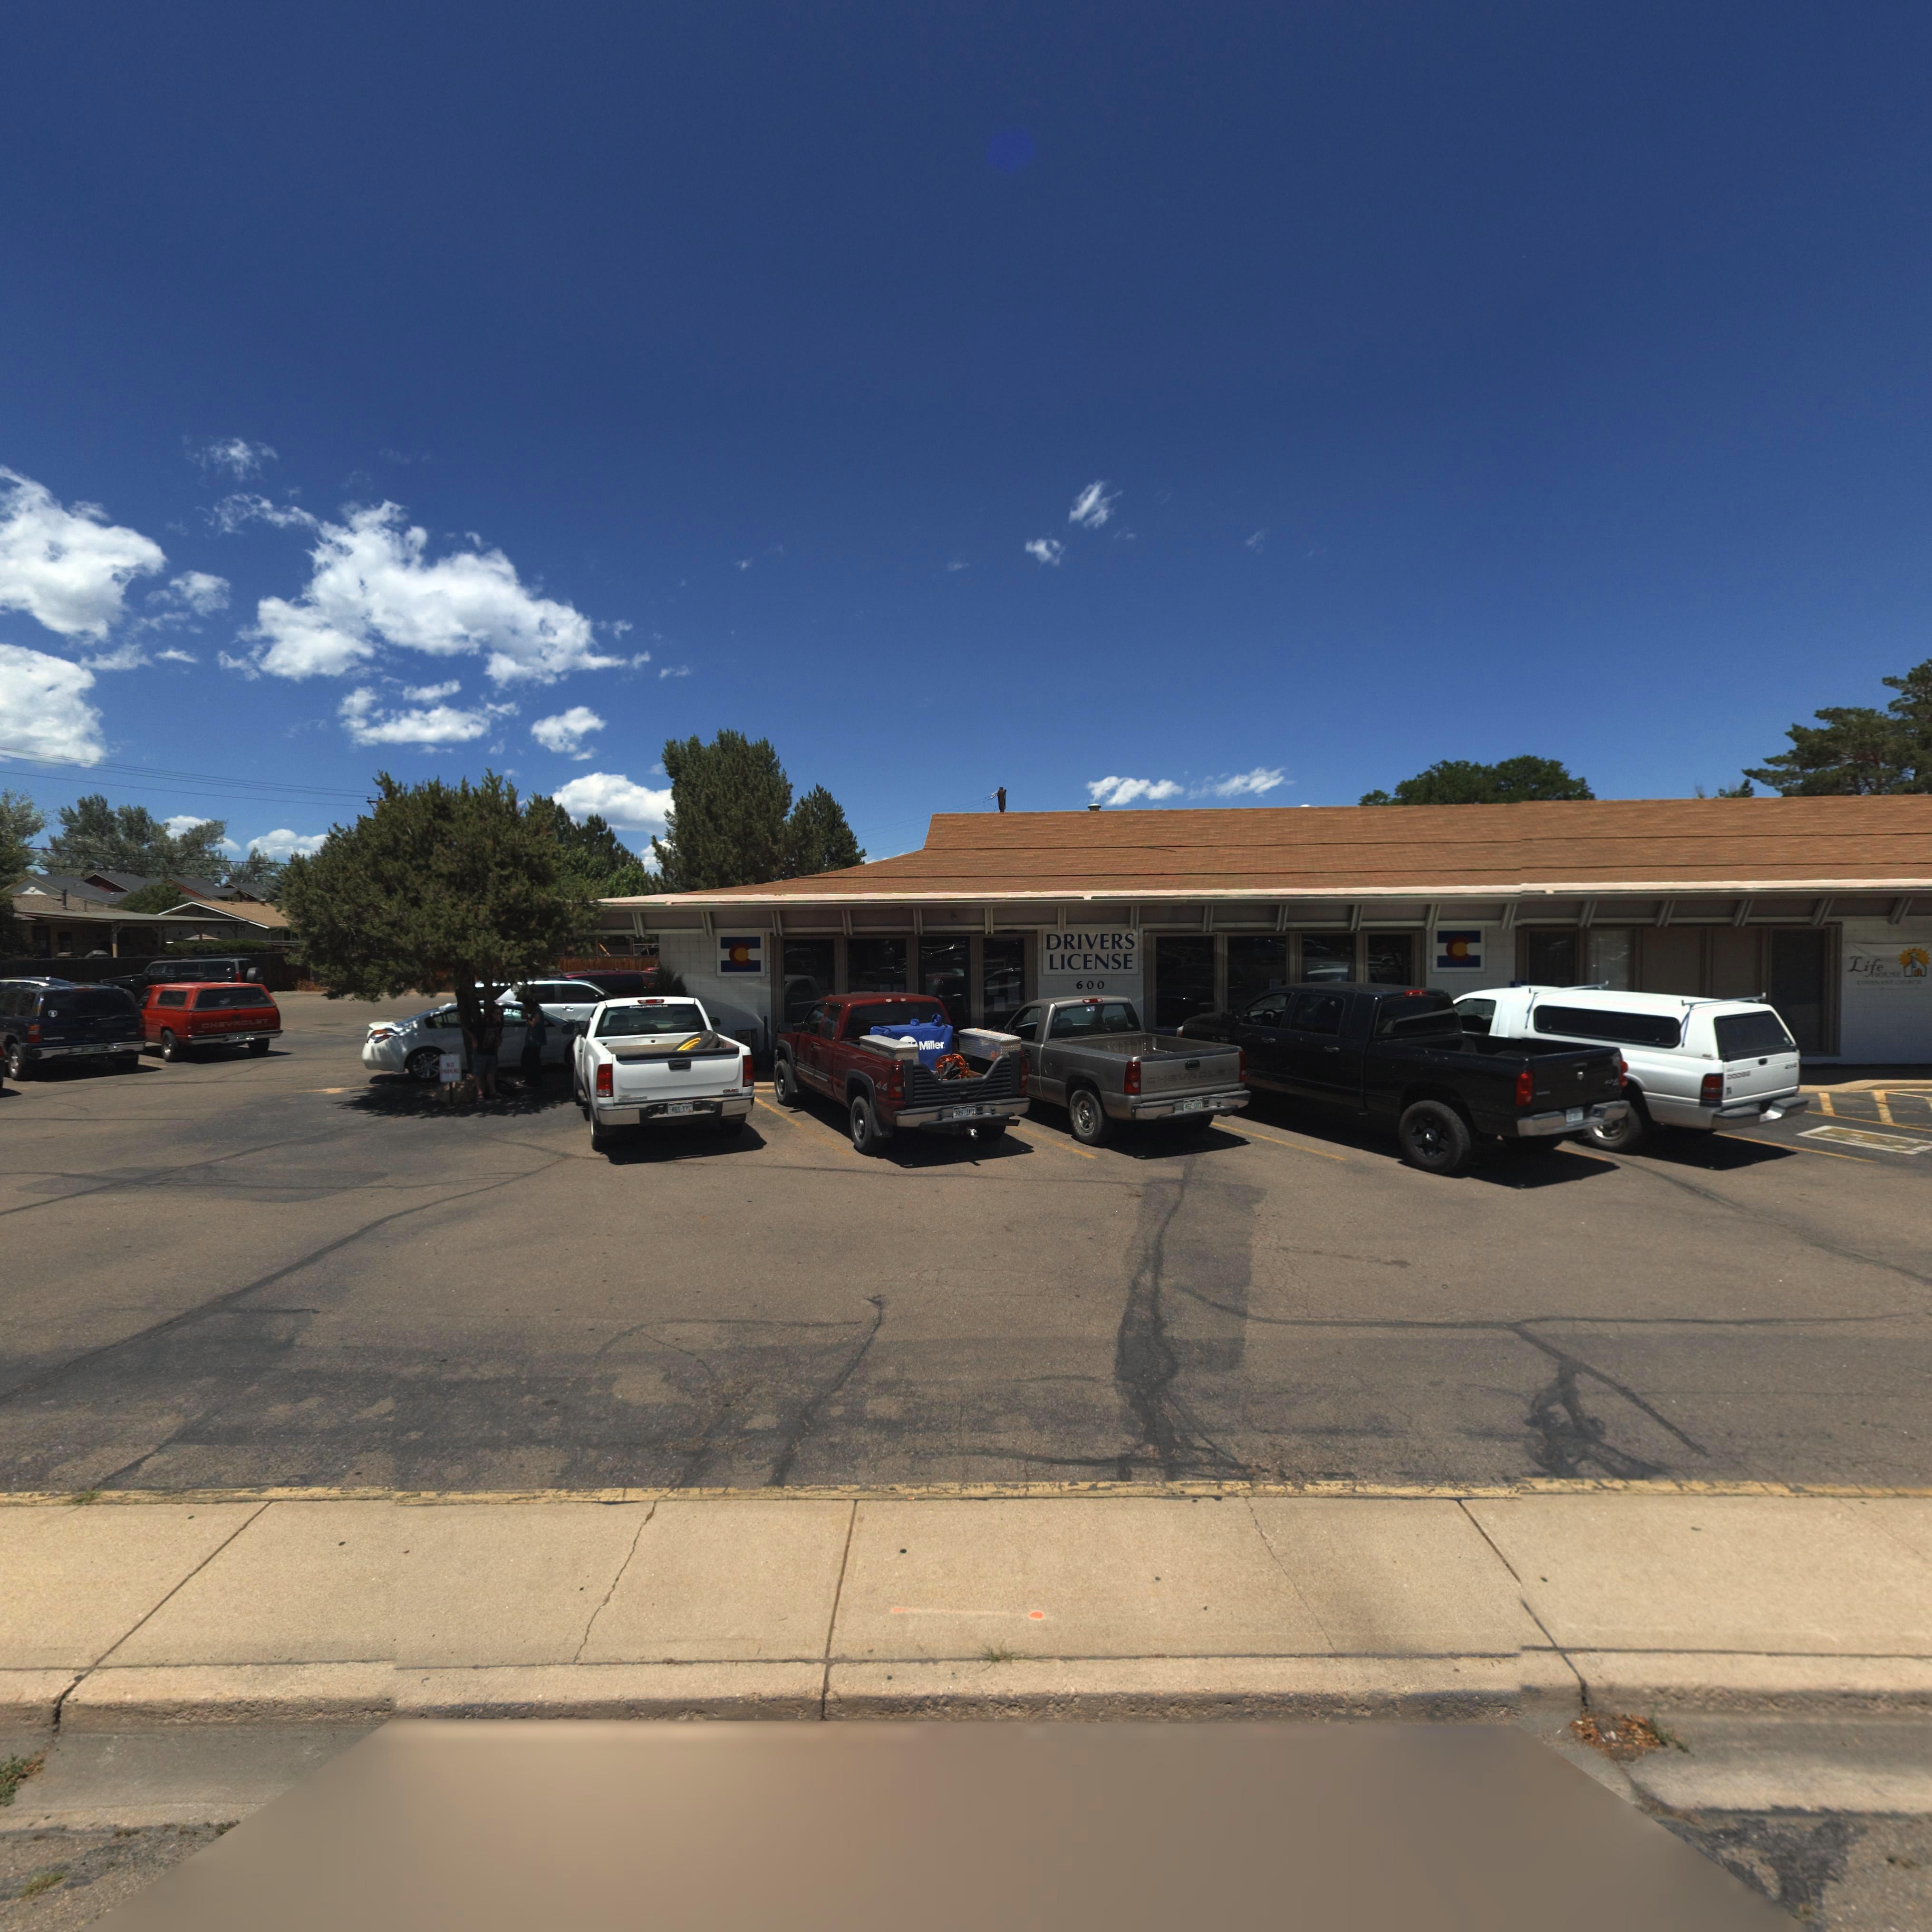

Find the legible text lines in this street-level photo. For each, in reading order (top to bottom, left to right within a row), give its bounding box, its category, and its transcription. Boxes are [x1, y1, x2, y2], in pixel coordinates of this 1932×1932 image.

[1847, 955, 1884, 978] BusinessName: Life
[1871, 971, 1903, 978] BusinessName: HOUSE
[1075, 979, 1105, 990] StreetNumber: 600
[1856, 978, 1921, 985] BusinessName: C****NT CHURCH